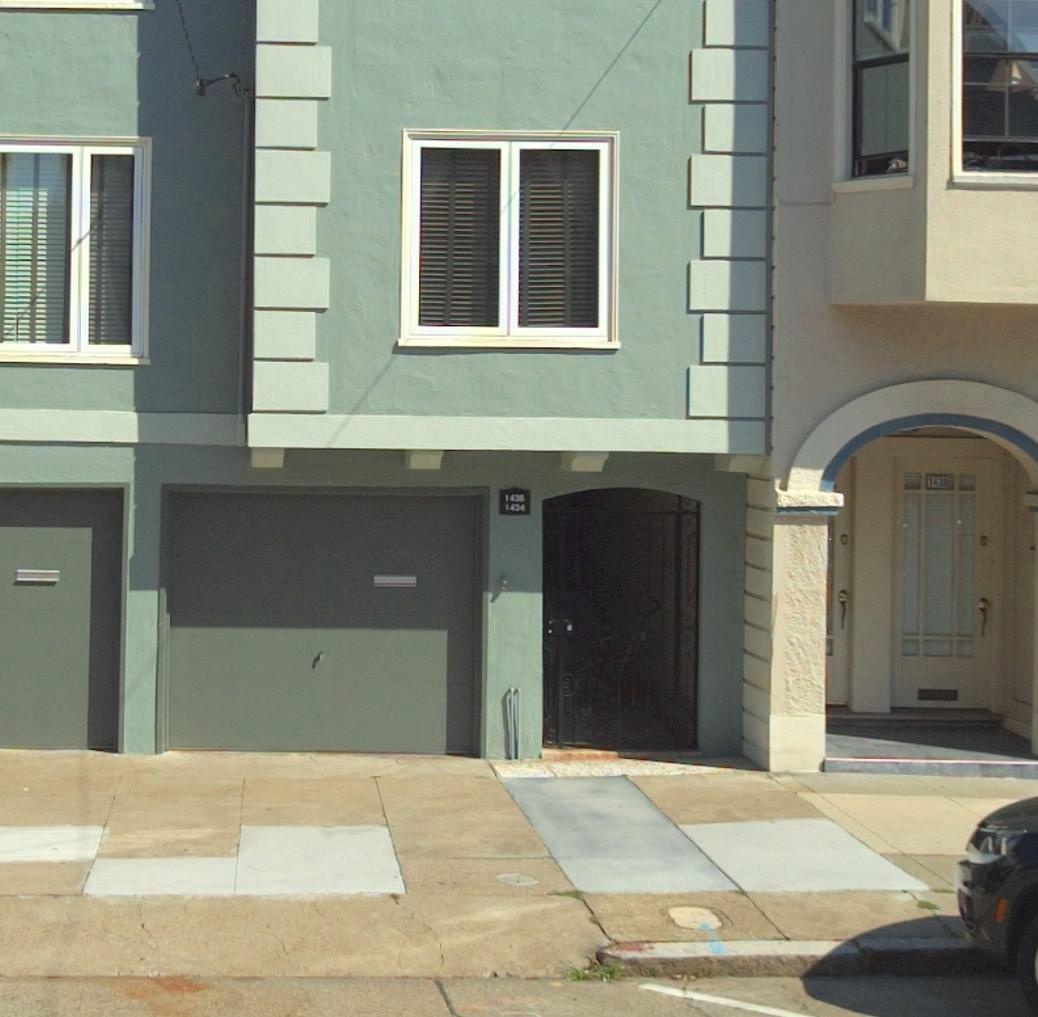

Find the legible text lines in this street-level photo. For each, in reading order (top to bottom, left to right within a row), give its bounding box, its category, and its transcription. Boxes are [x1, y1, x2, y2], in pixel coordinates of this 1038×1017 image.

[505, 493, 526, 502] StreetNumber: 143*
[505, 502, 526, 513] StreetNumber: 1434